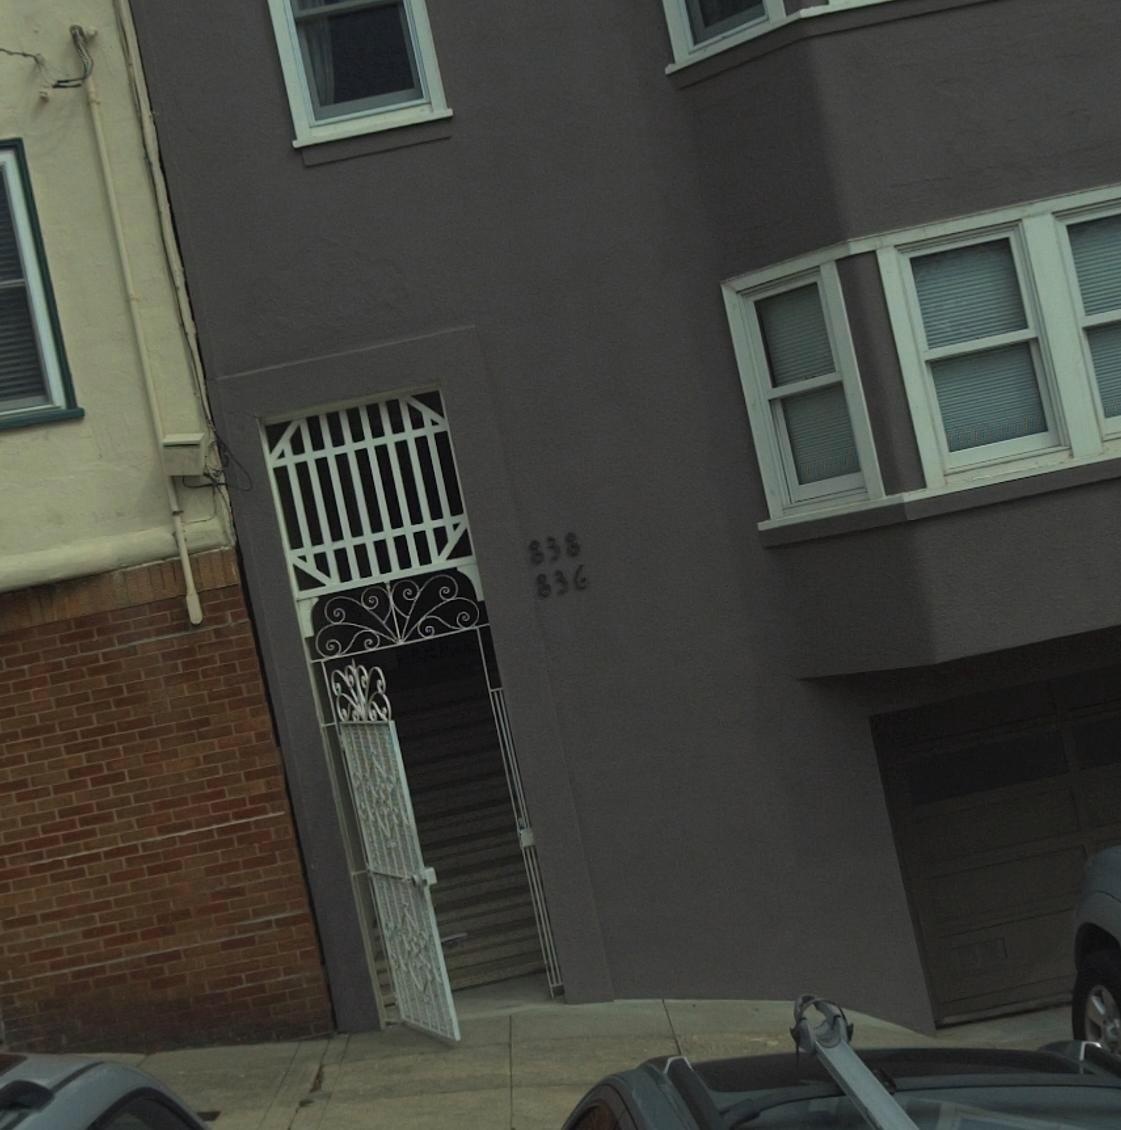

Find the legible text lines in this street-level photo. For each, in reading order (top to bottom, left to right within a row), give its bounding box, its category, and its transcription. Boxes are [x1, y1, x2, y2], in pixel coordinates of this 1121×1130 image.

[525, 528, 586, 568] StreetNumber: 838
[533, 562, 596, 601] StreetNumber: 836